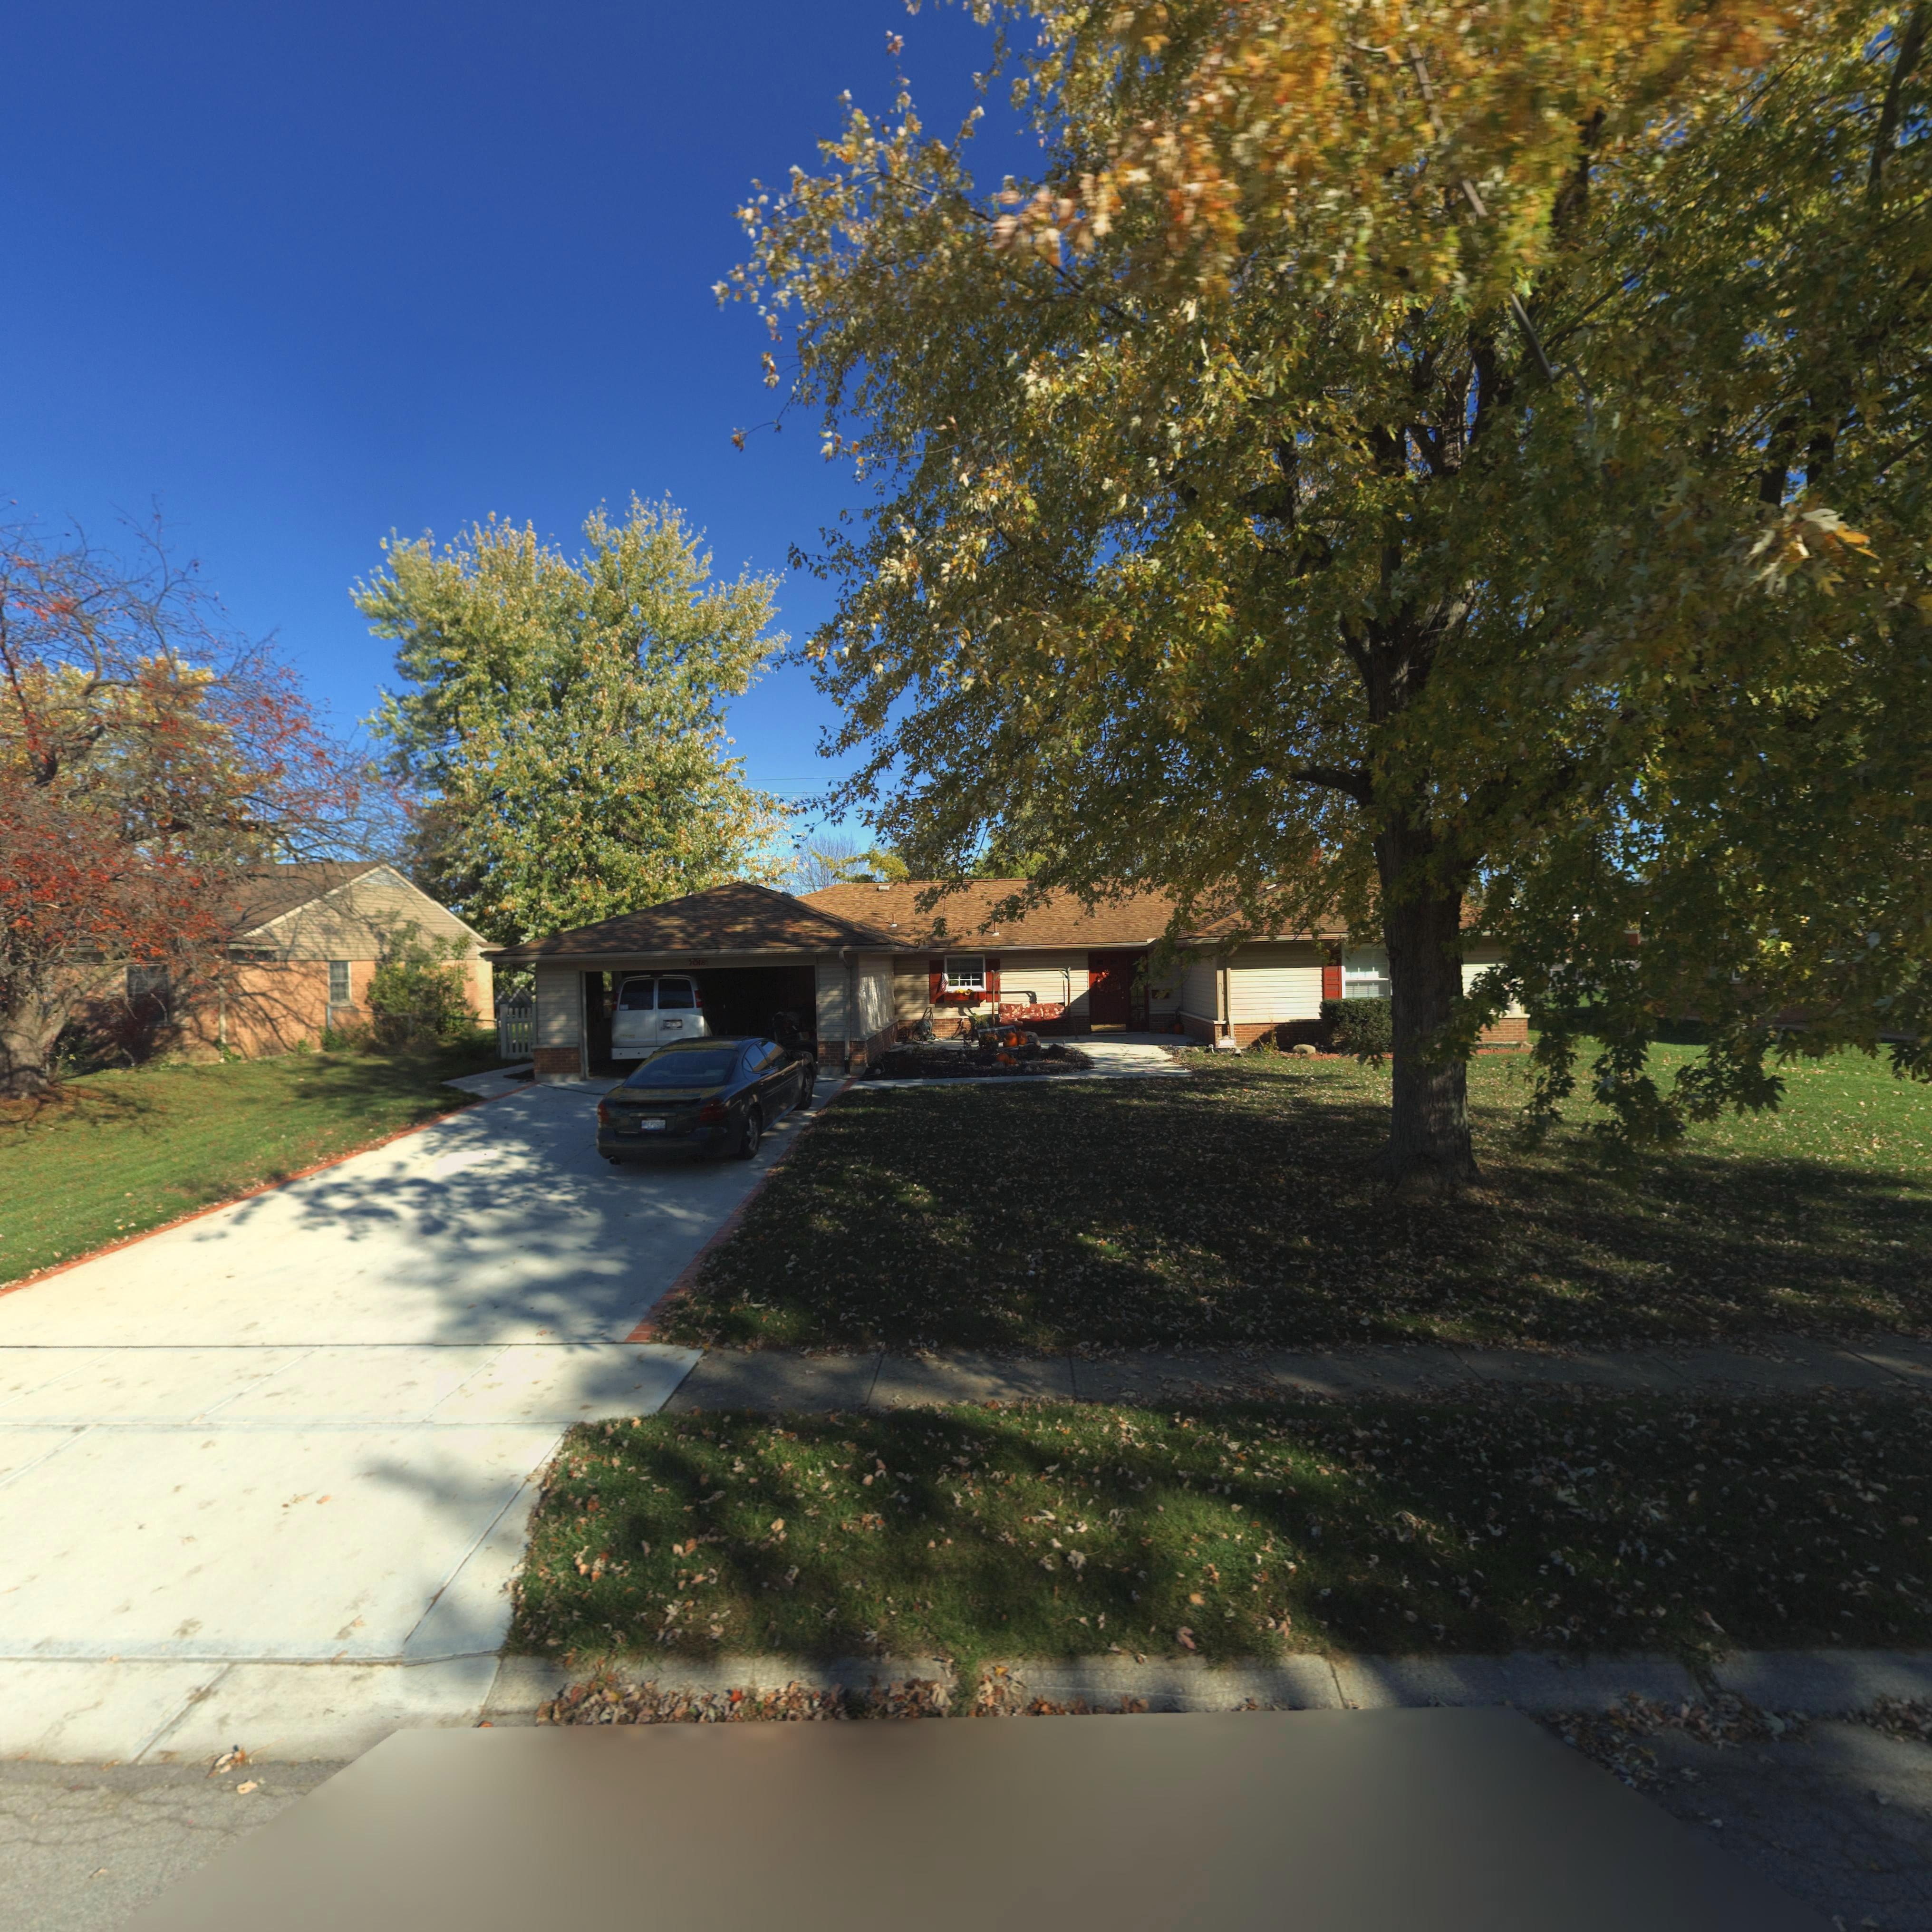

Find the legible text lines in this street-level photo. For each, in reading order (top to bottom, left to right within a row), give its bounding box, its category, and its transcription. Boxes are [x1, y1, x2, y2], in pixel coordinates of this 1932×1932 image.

[688, 959, 706, 966] StreetNumber: 7018